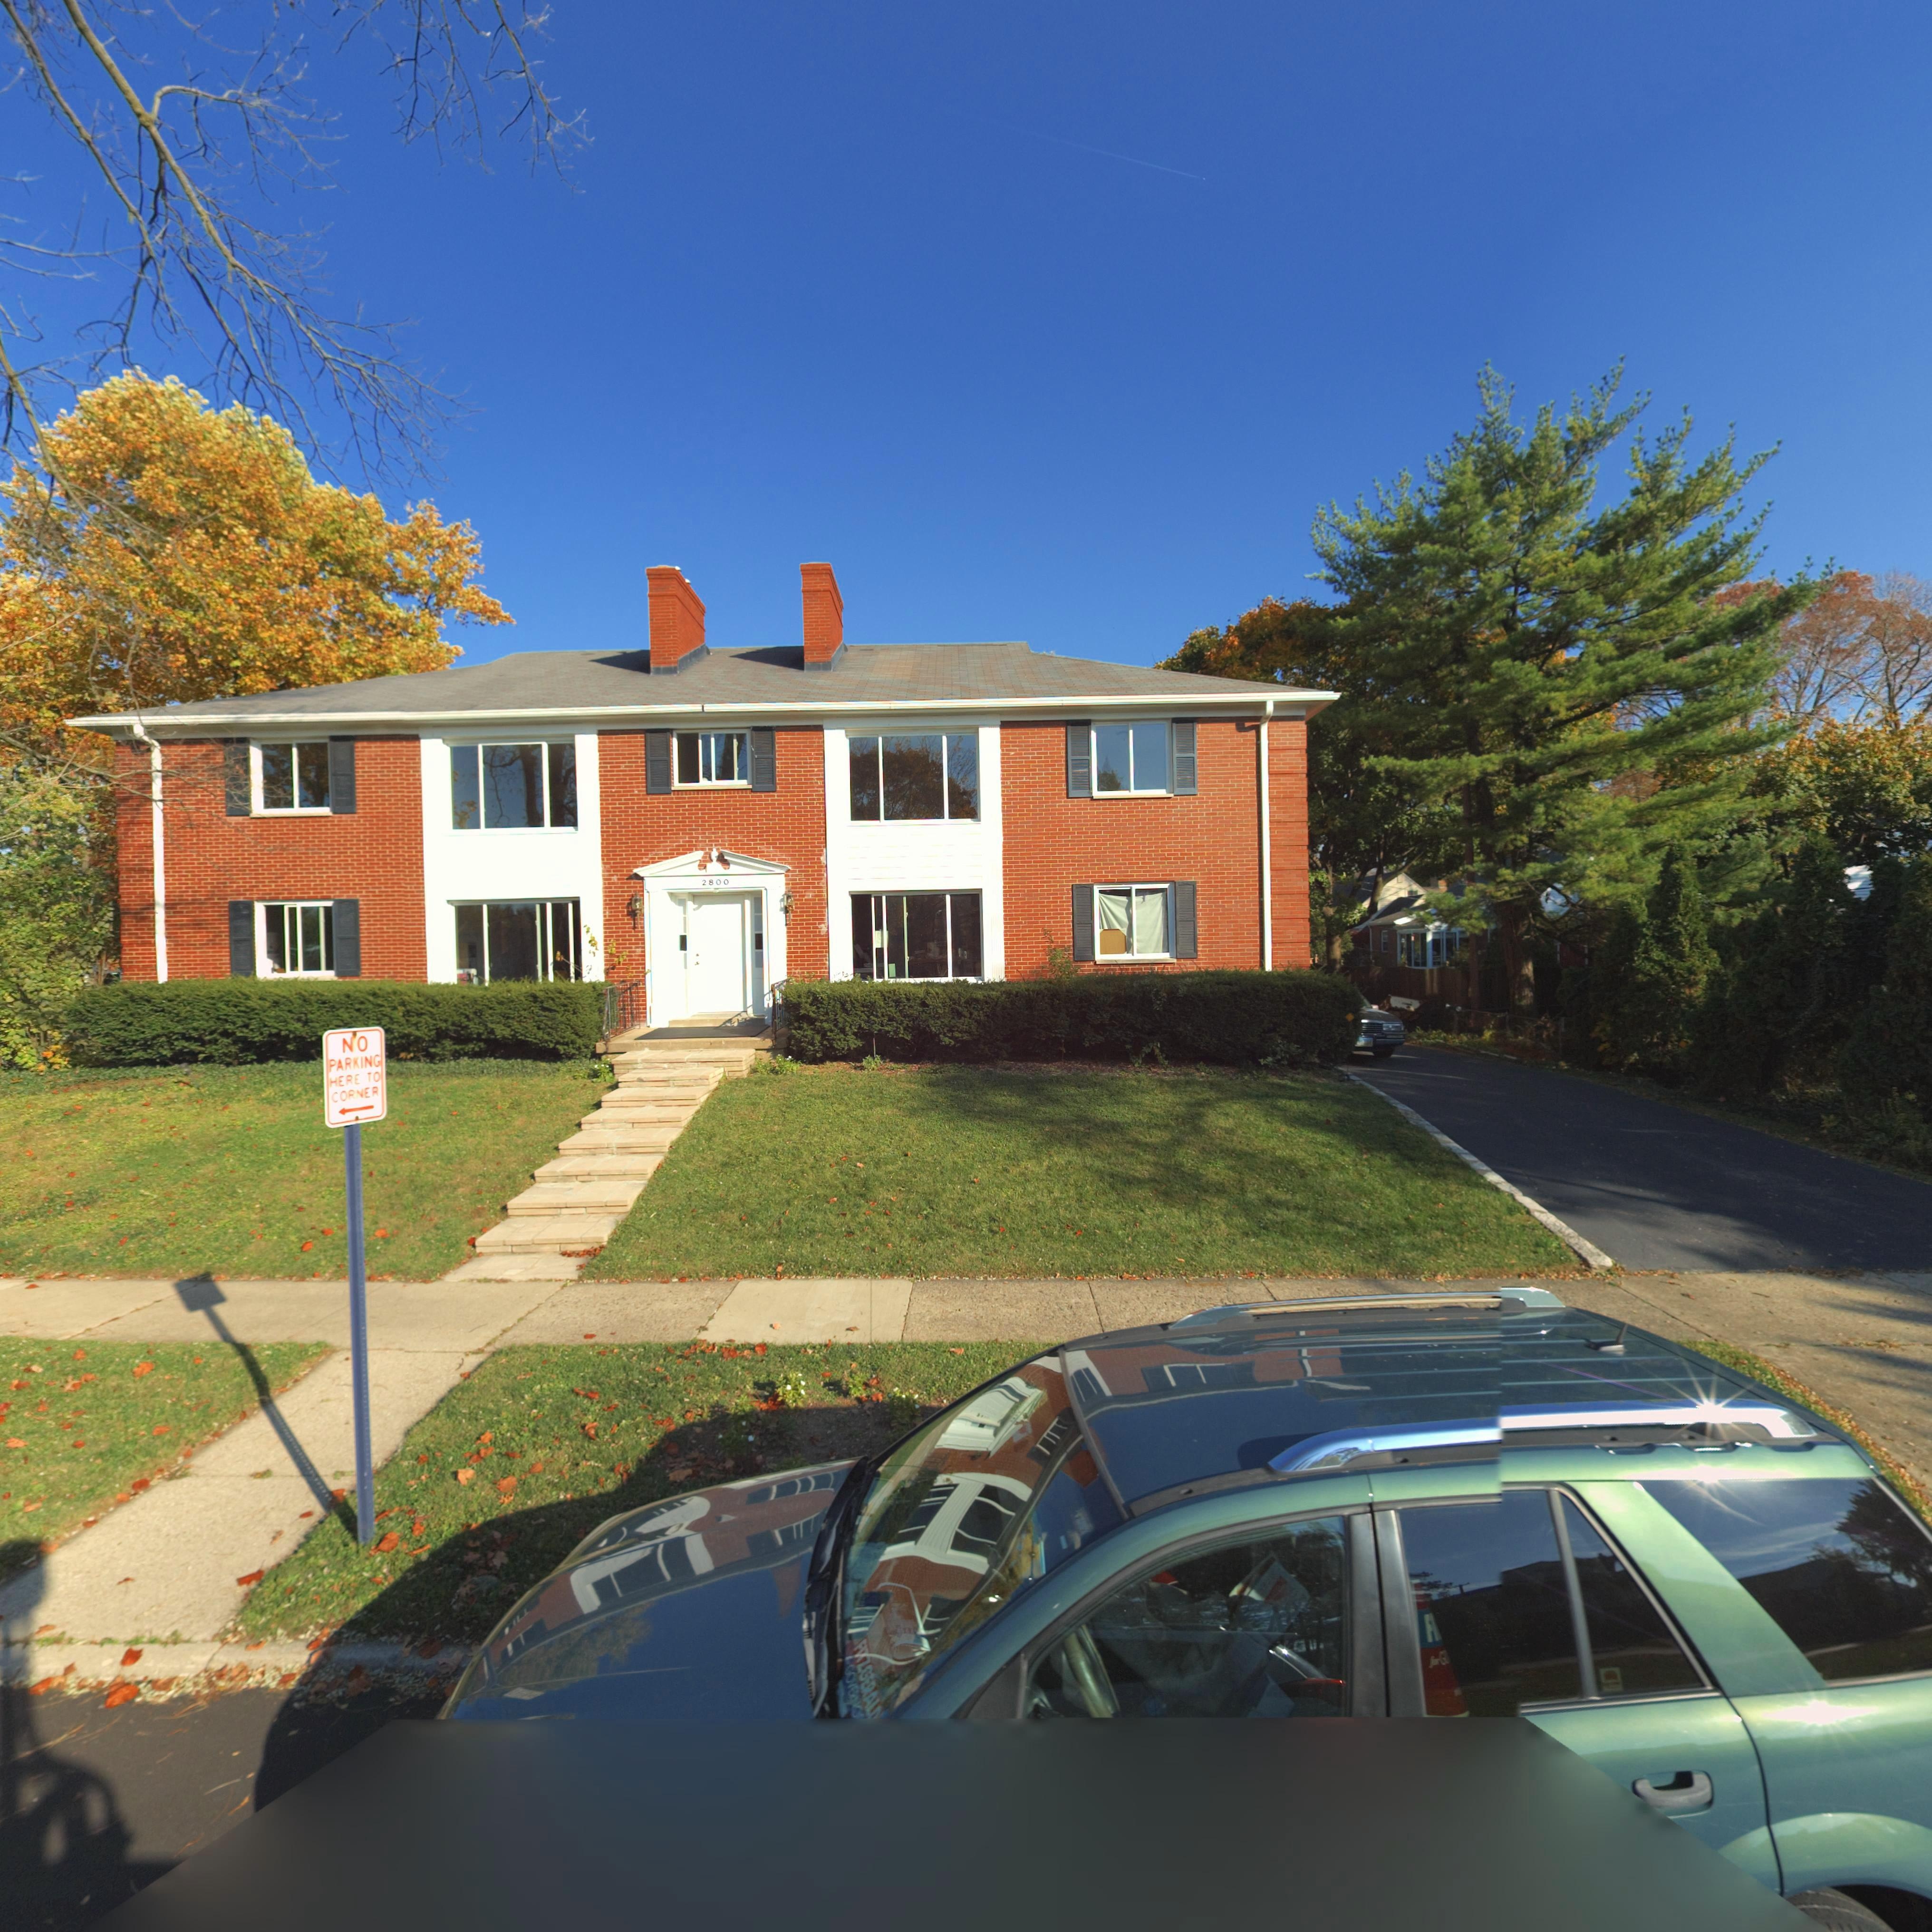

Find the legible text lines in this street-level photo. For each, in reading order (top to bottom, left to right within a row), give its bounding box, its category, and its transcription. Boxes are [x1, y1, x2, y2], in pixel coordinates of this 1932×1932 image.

[701, 878, 730, 887] StreetNumber: 2800
[340, 1034, 370, 1055] None: NO
[326, 1053, 382, 1074] None: PARKING
[328, 1070, 382, 1090] None: HERE TO
[330, 1084, 380, 1104] None: CO**ER